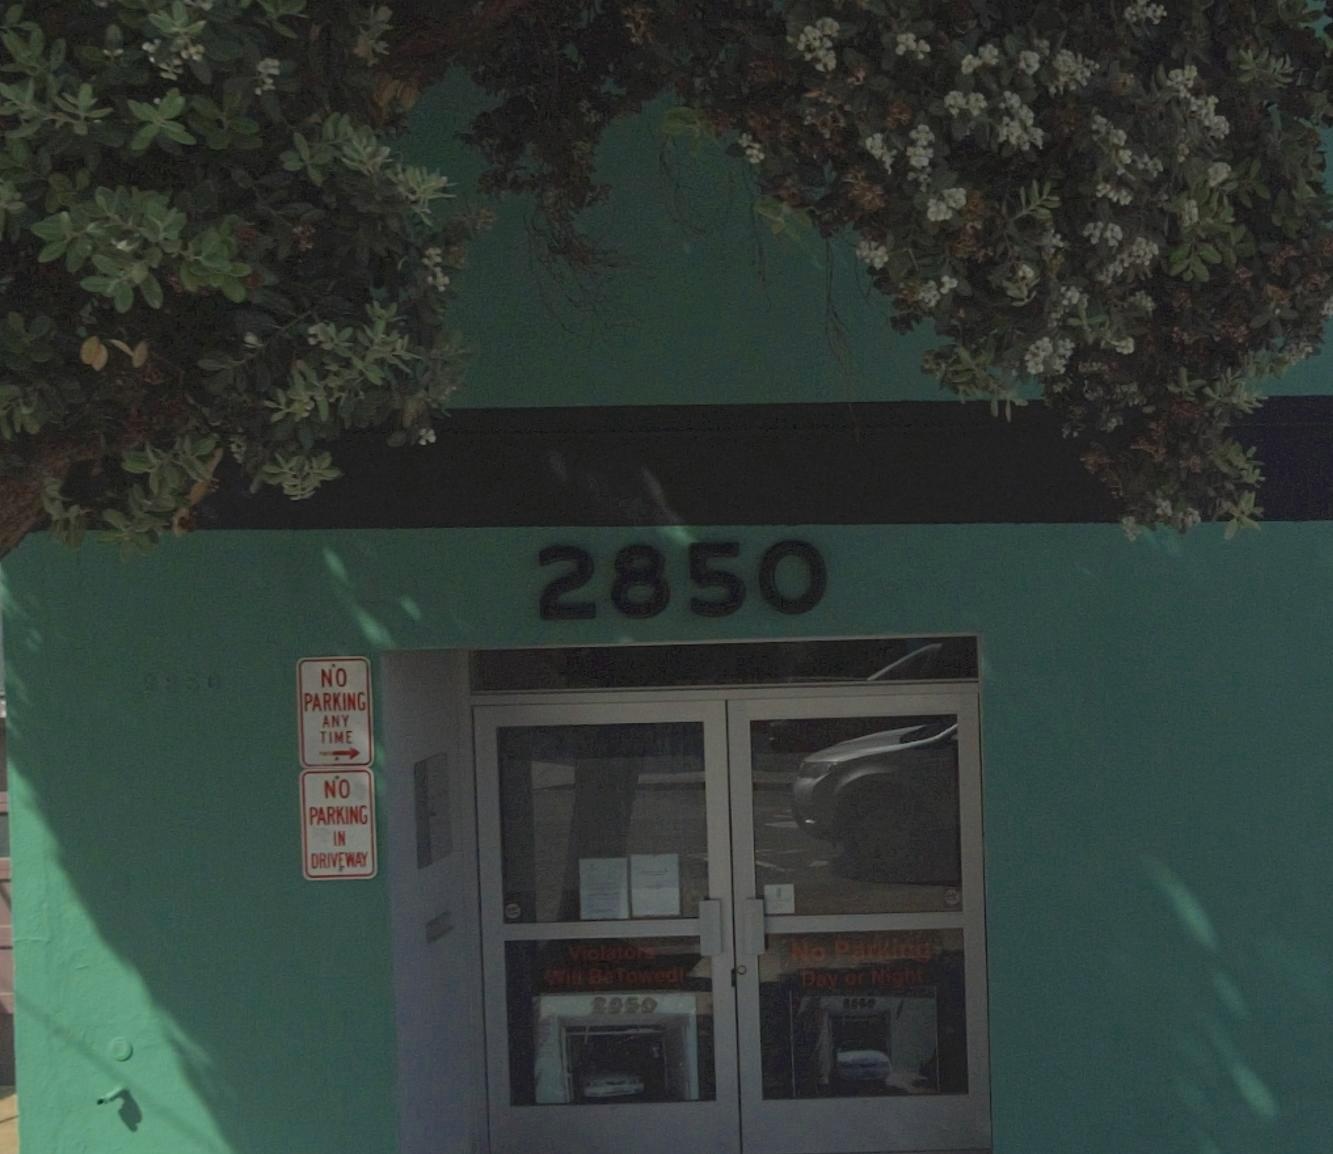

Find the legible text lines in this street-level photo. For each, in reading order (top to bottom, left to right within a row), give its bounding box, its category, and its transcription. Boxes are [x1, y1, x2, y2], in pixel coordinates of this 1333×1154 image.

[535, 536, 829, 624] StreetNumber: 2850
[144, 670, 222, 695] StreetNumber: 2850
[318, 666, 349, 690] None: NO
[302, 690, 369, 714] None: PARKING
[320, 713, 353, 729] None: ANY
[319, 729, 354, 745] None: TIME
[322, 777, 351, 801] None: NO
[307, 803, 370, 828] None: PARKING
[331, 828, 348, 848] None: IN
[309, 849, 370, 871] None: DRIVEWAY
[565, 943, 657, 964] None: Violators
[787, 935, 934, 966] None: No Parking
[543, 963, 686, 991] None: Will Be Towed!
[798, 965, 926, 991] None: Day or Night
[590, 993, 660, 1016] StreetNumber: 2*50